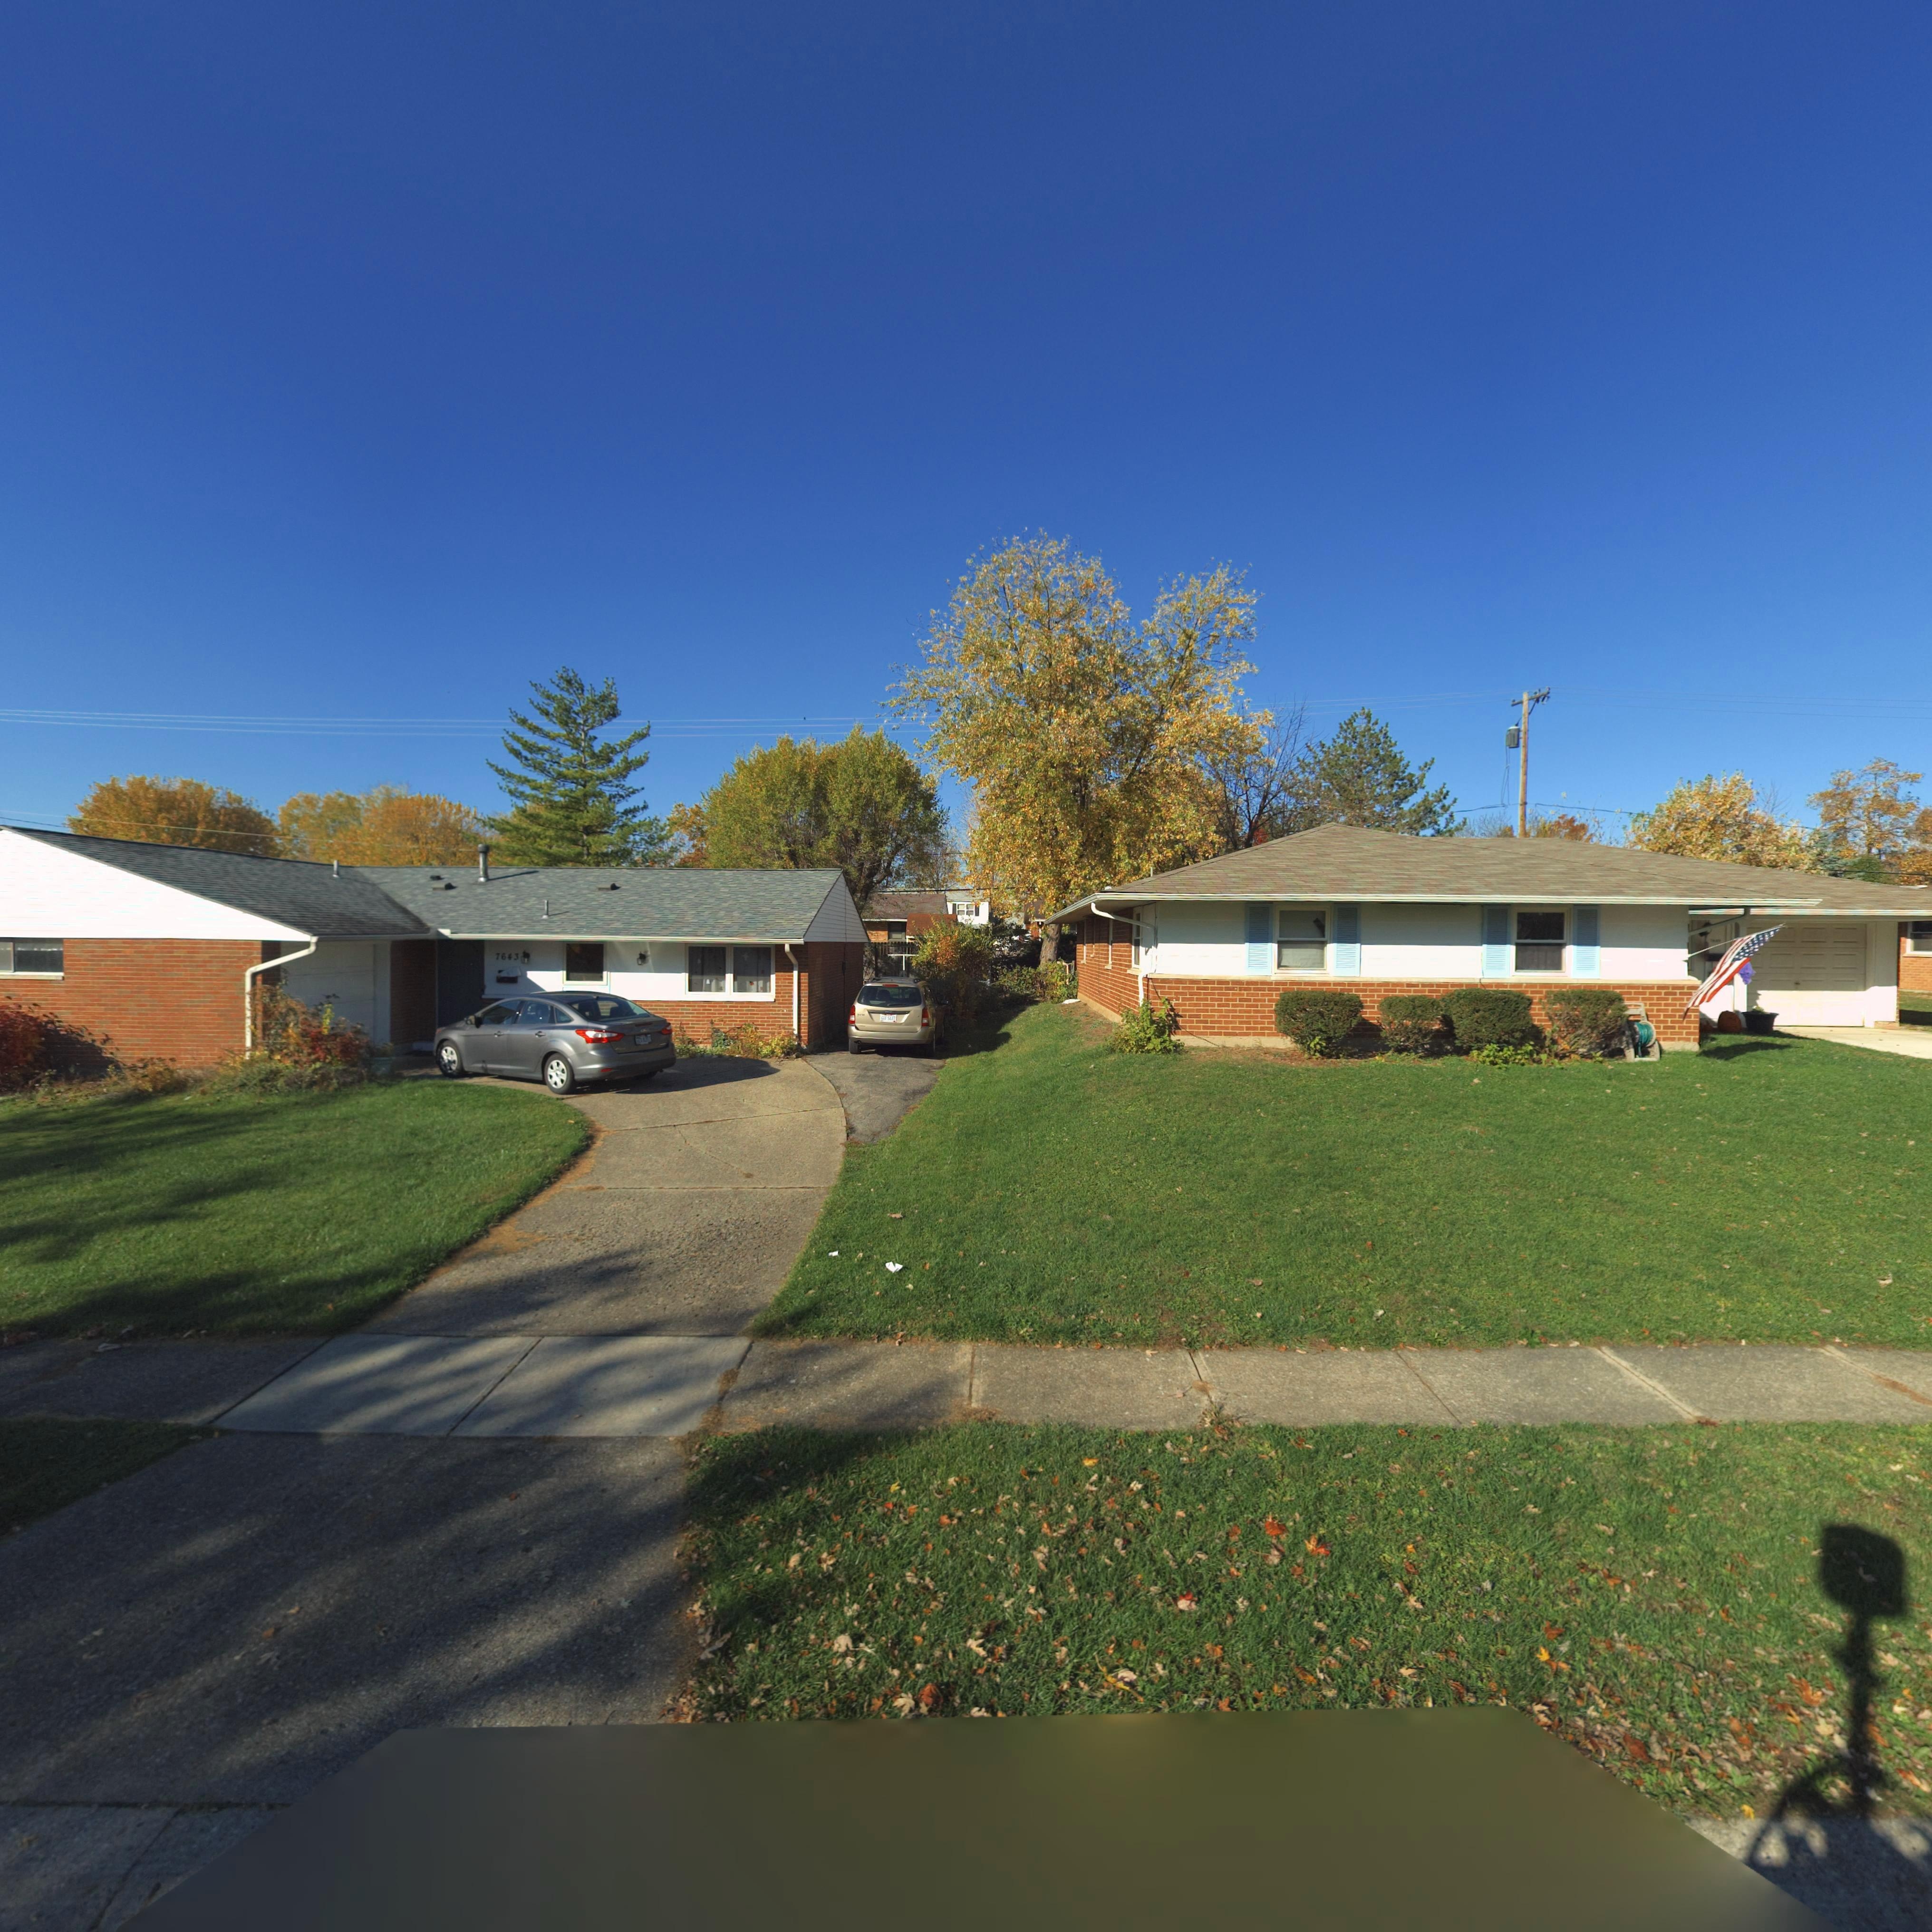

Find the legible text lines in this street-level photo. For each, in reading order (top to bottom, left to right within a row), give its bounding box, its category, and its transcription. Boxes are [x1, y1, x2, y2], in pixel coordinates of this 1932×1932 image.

[1709, 938, 1722, 943] StreetNumber: 7**9
[495, 952, 520, 961] StreetNumber: 7643